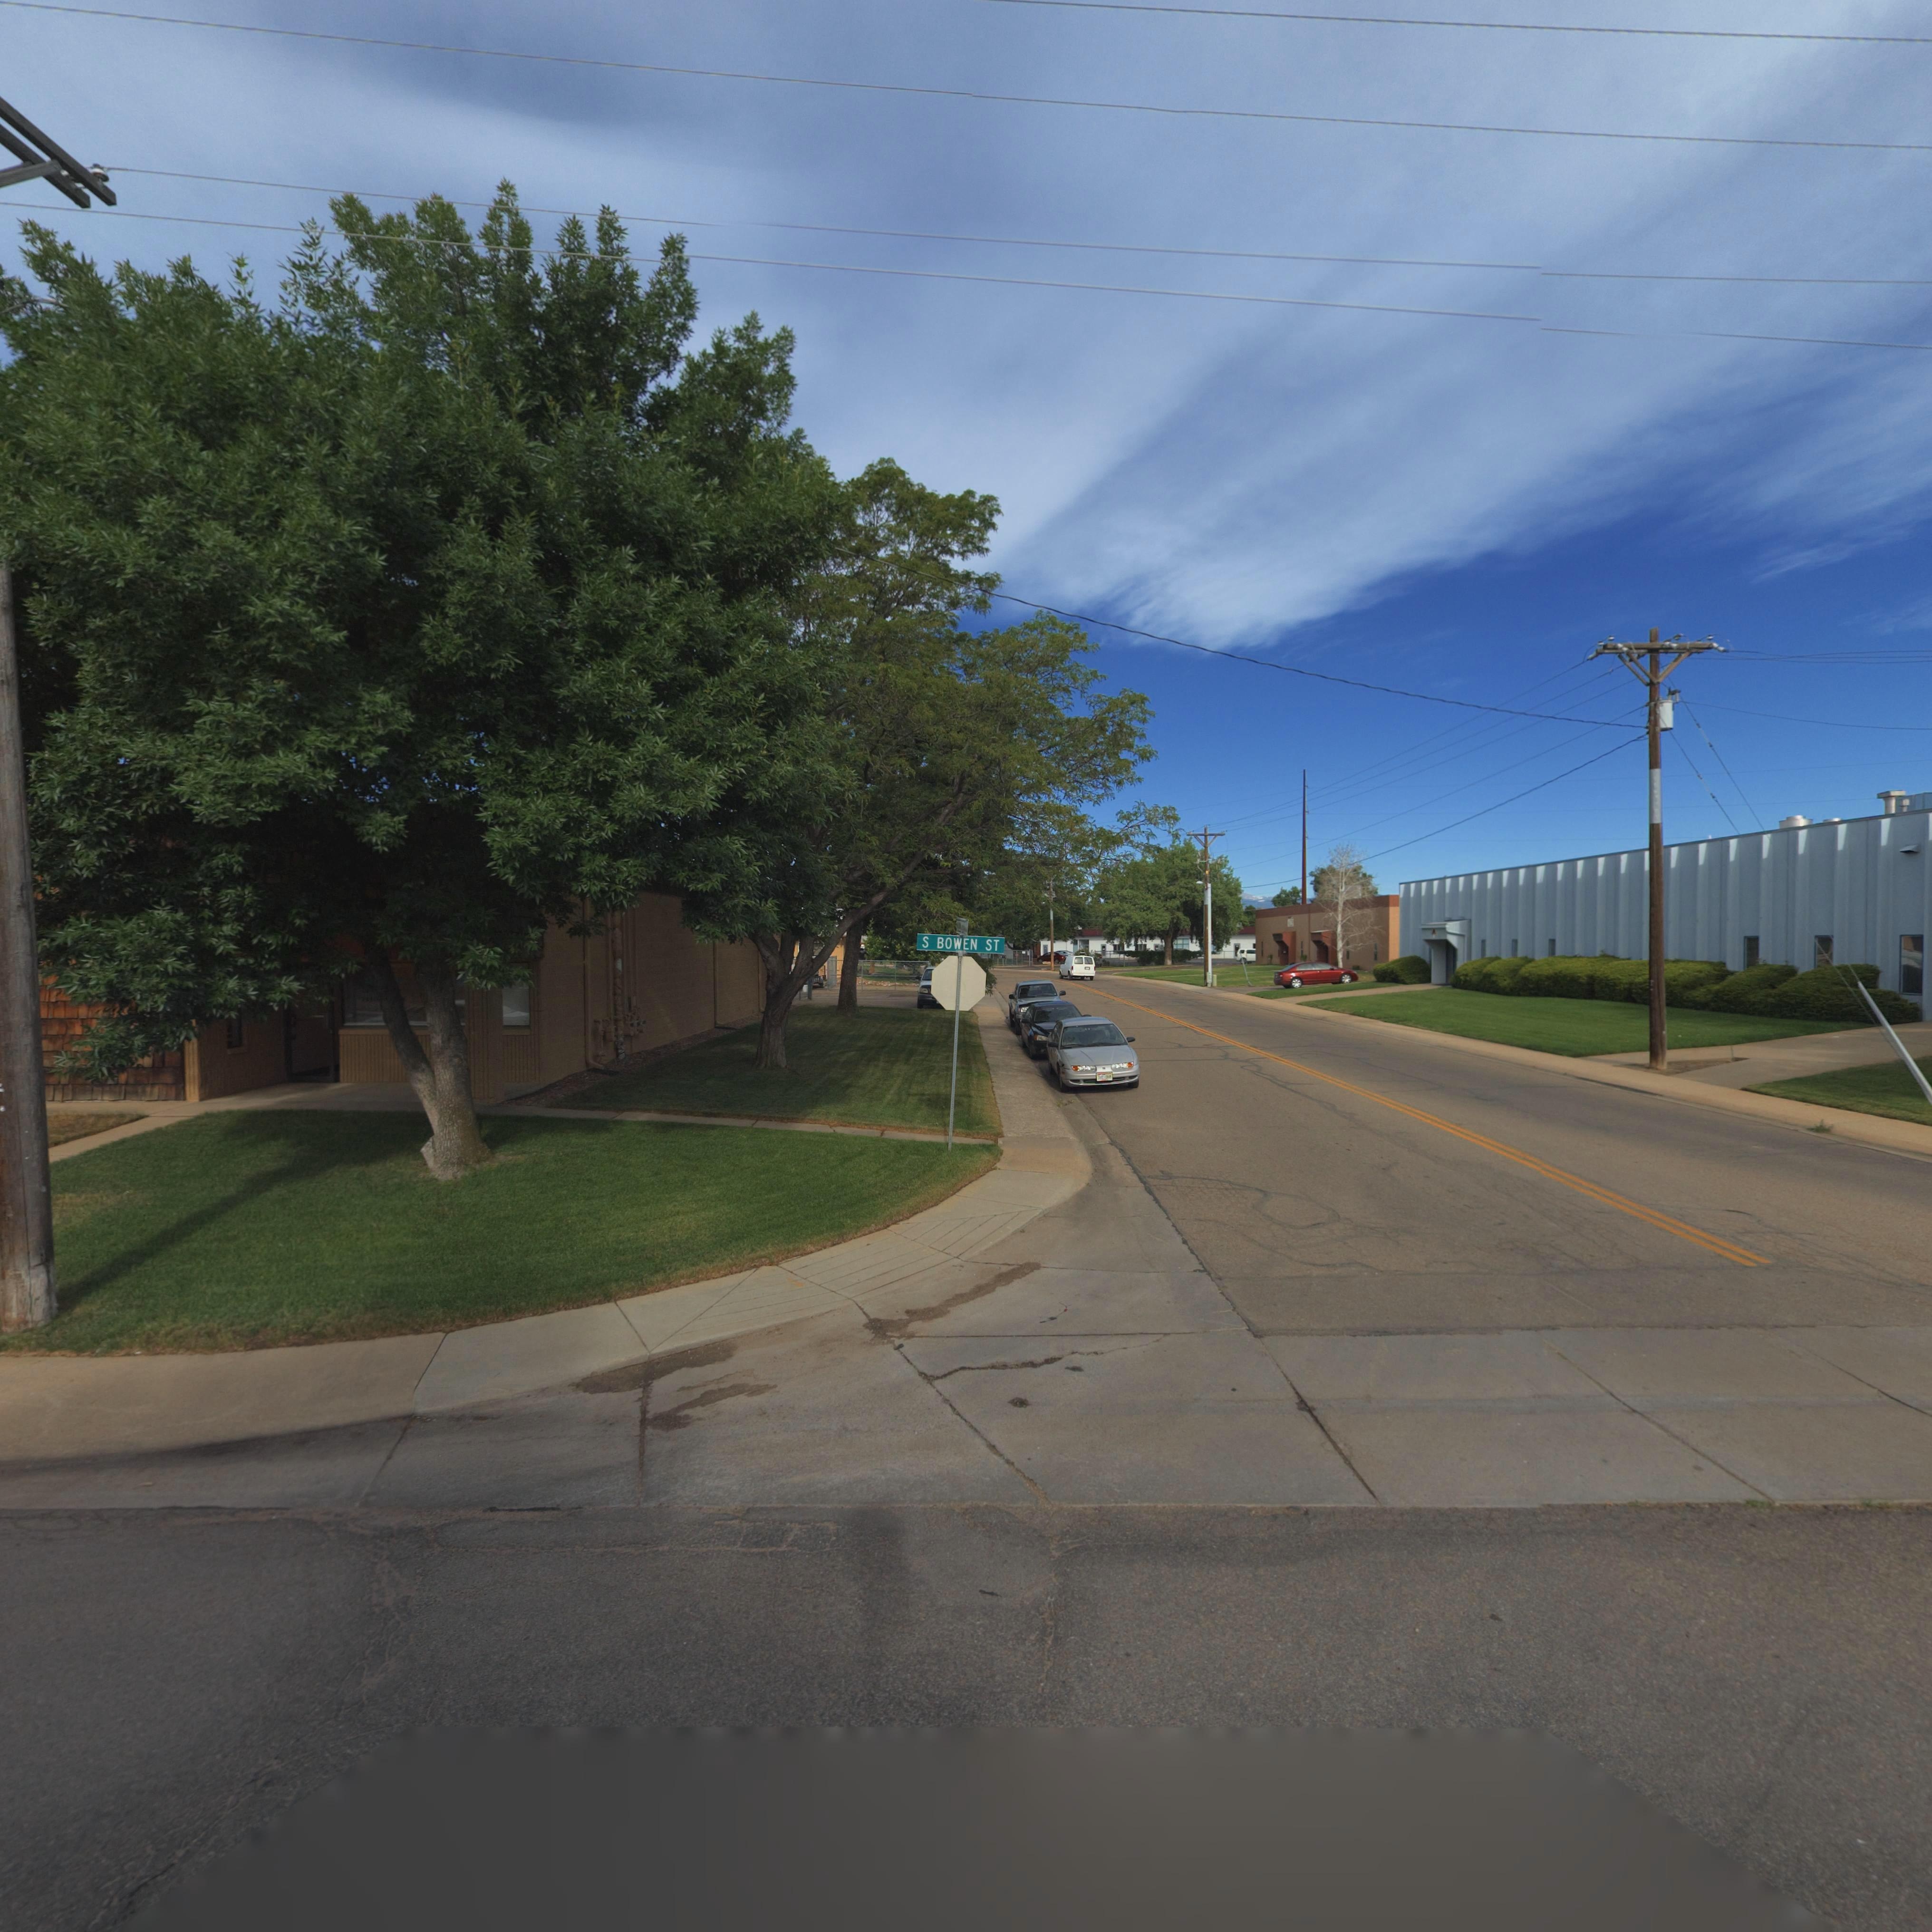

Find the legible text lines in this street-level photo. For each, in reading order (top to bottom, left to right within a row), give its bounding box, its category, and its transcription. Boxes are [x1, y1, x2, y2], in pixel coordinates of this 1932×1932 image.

[922, 936, 1000, 951] BusinessName: S BOWEN ST